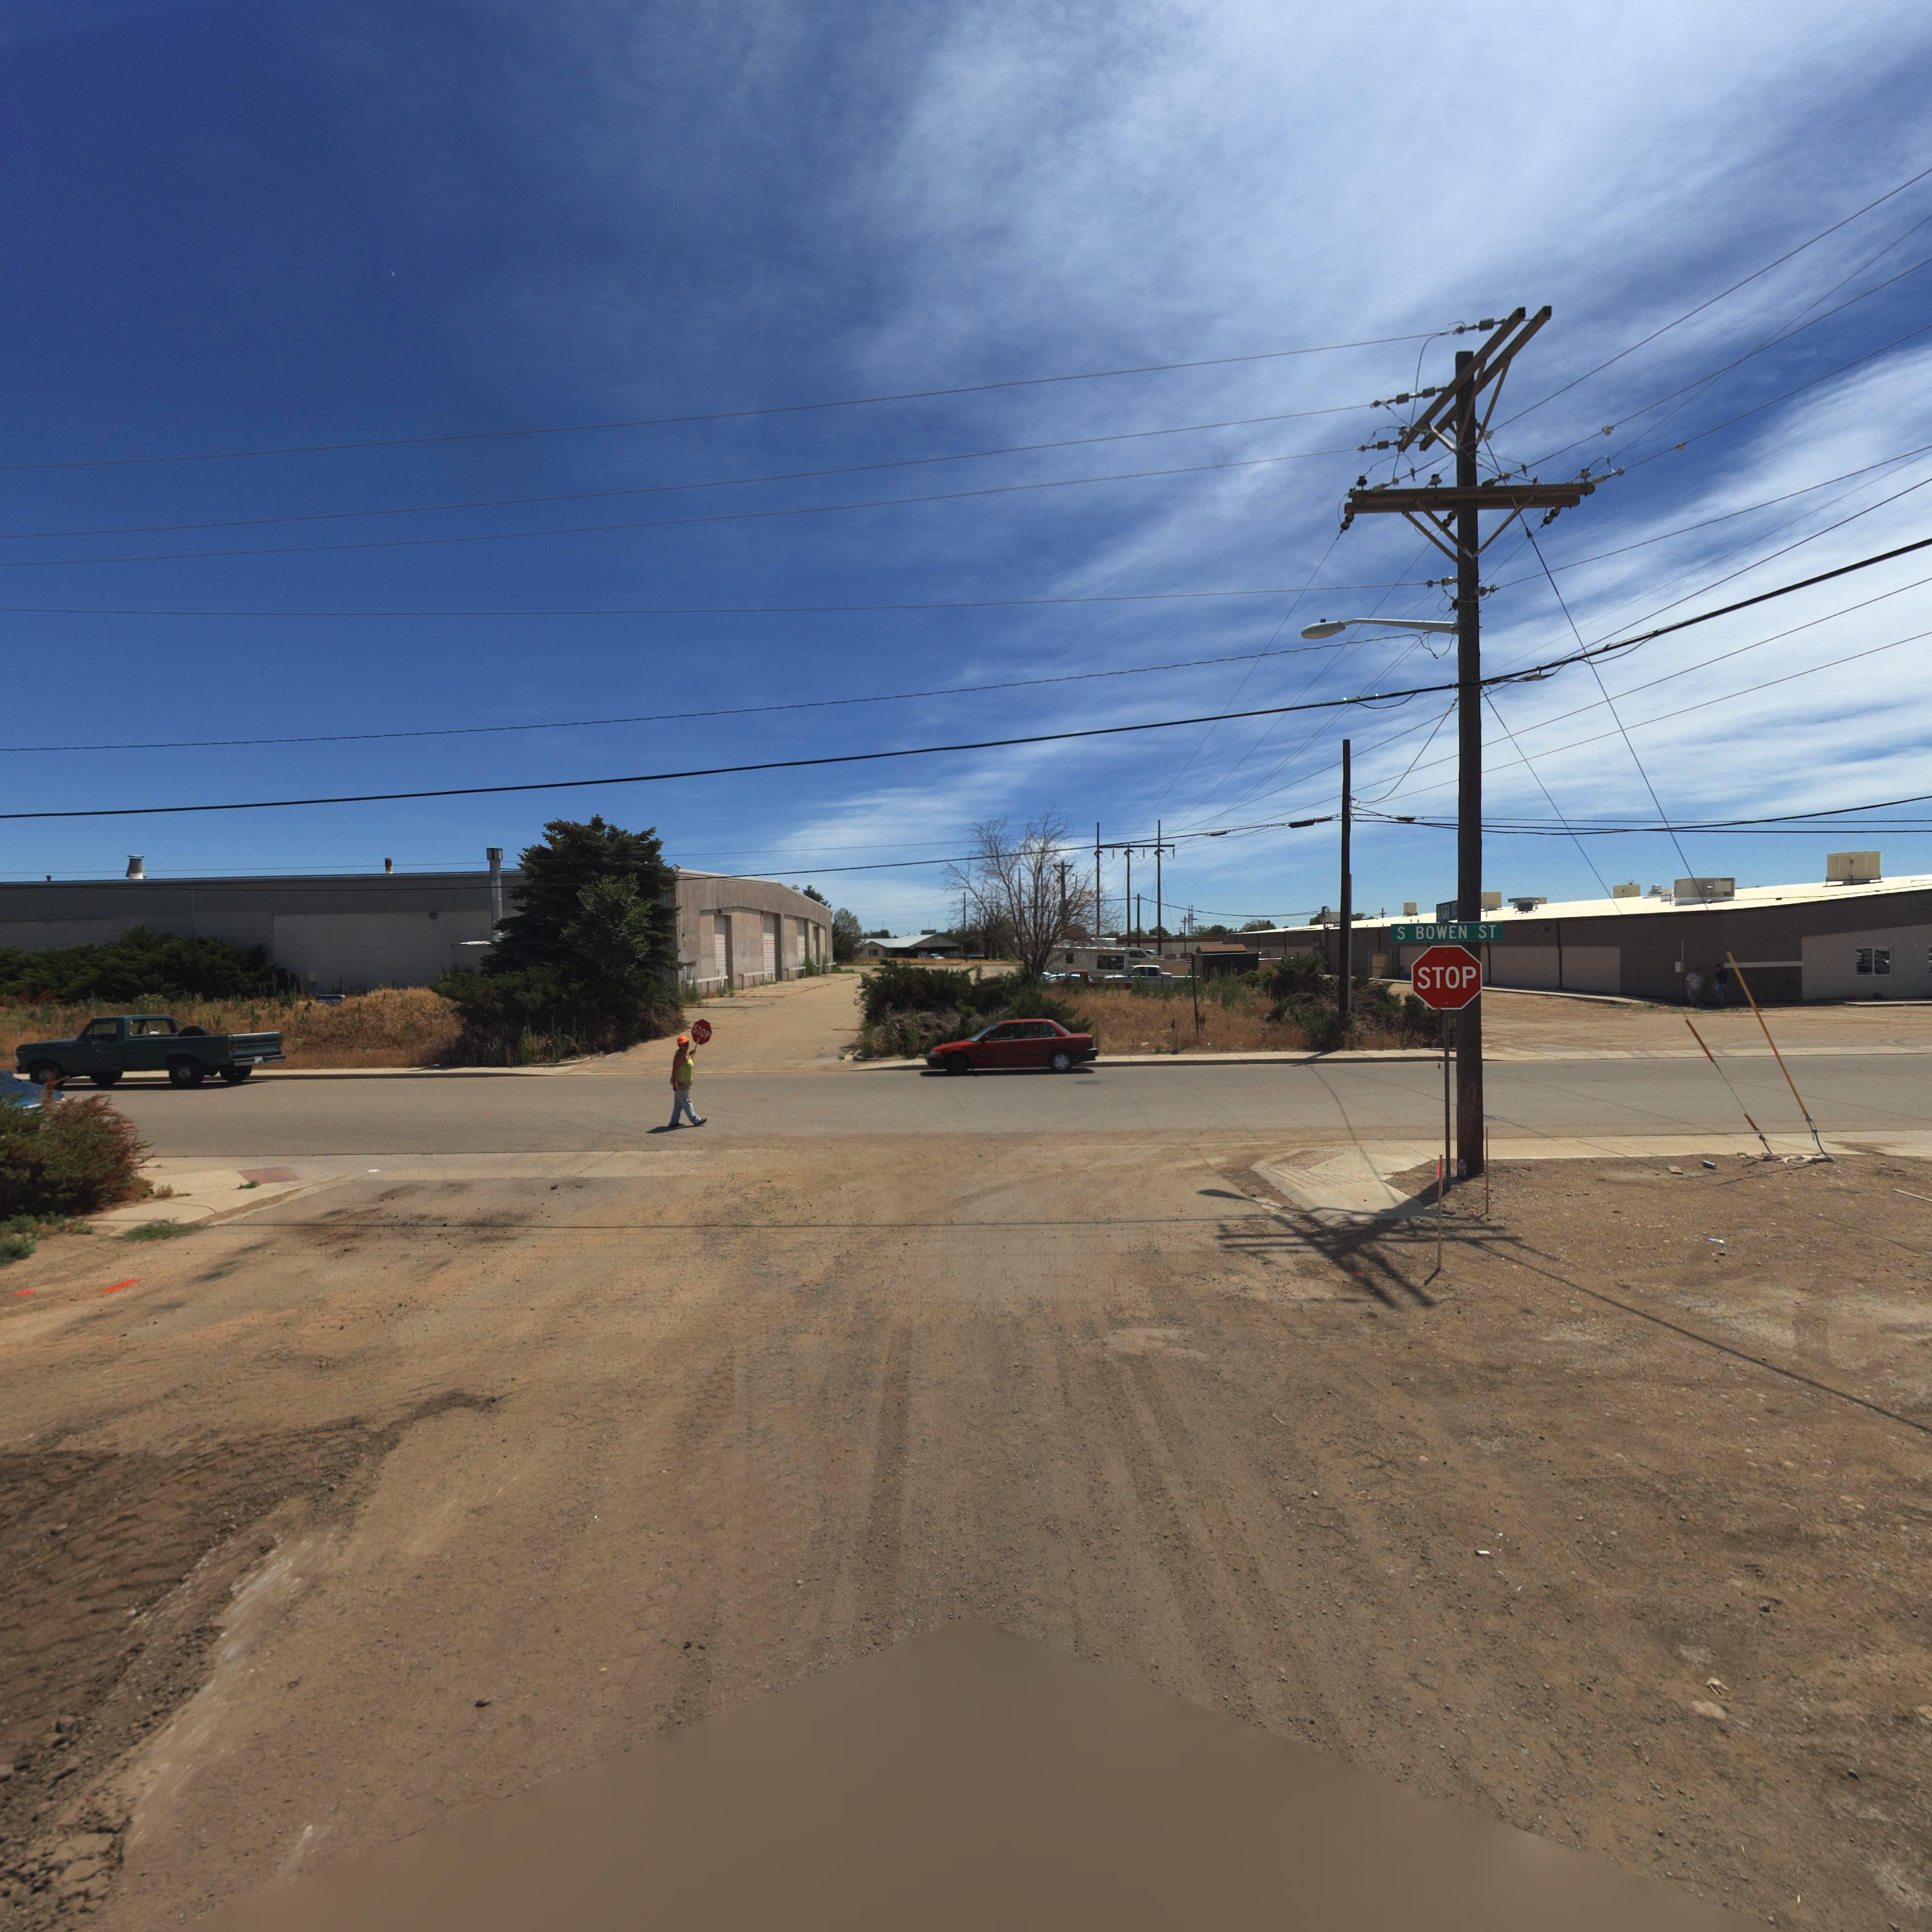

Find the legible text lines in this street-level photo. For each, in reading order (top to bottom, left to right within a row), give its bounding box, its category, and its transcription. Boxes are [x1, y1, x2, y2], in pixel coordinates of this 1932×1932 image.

[1437, 901, 1458, 921] StreetName: **ASKA *V
[1397, 924, 1496, 940] StreetName: S BOWEN ST